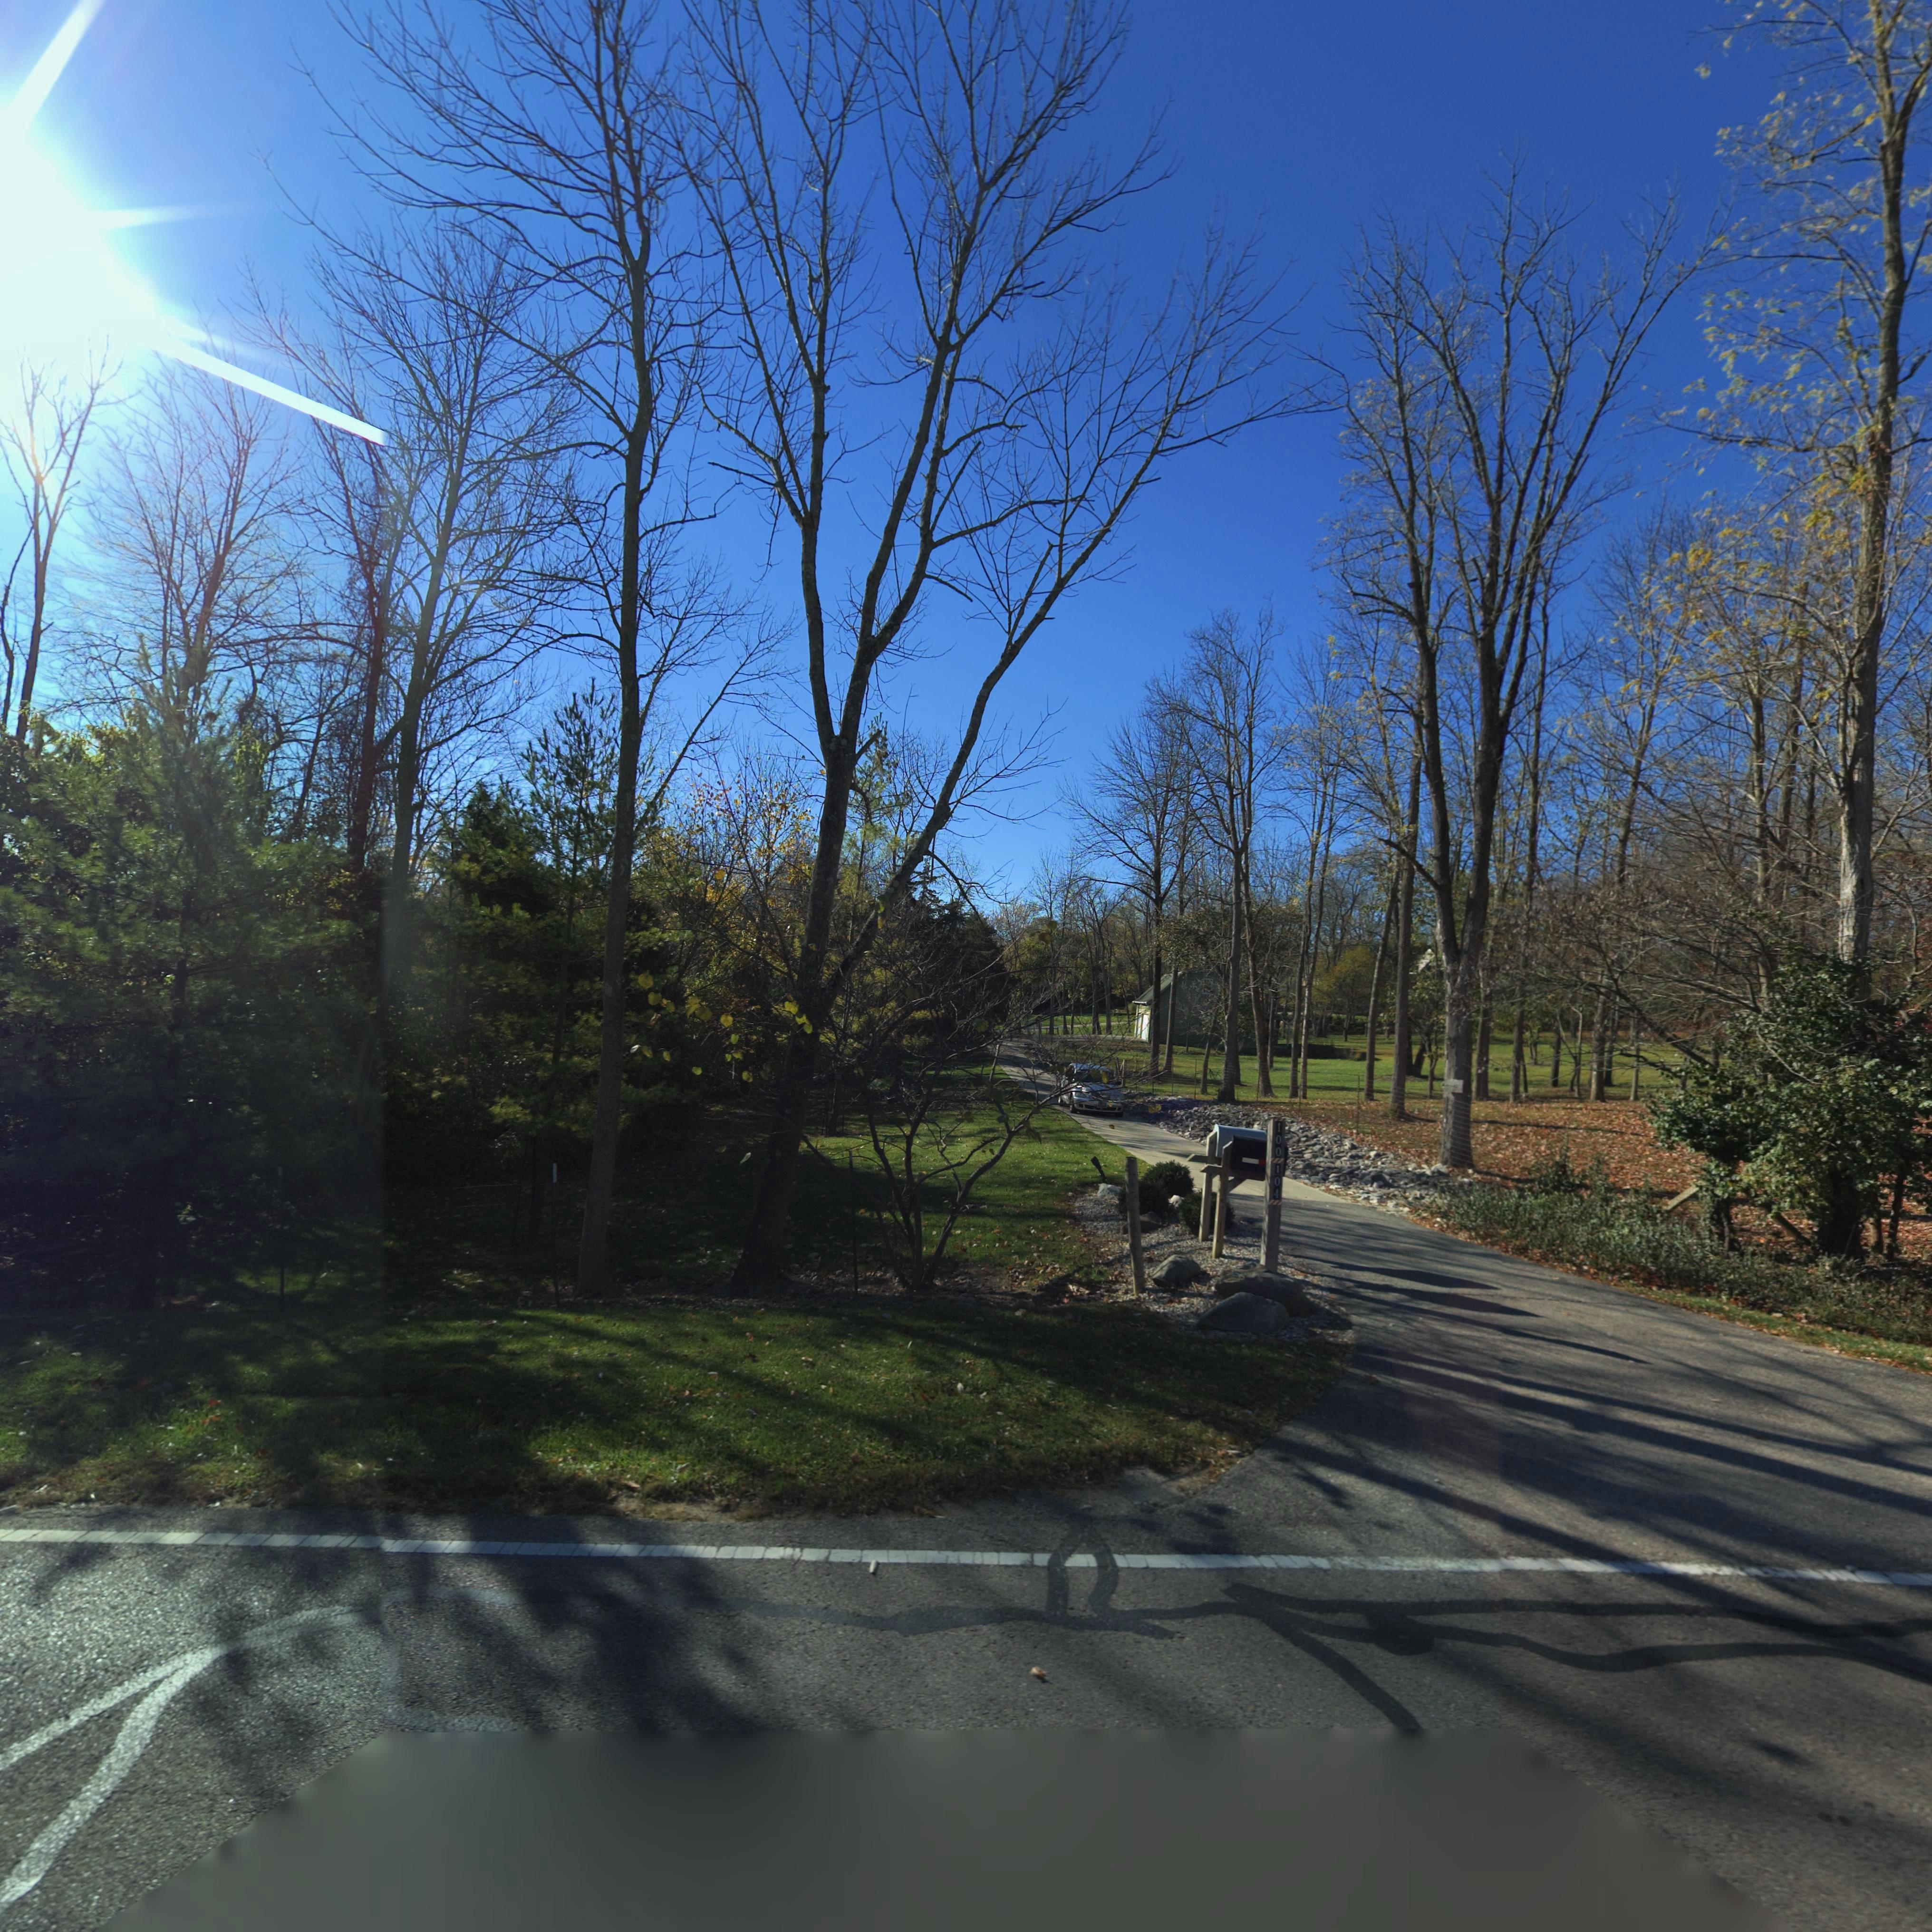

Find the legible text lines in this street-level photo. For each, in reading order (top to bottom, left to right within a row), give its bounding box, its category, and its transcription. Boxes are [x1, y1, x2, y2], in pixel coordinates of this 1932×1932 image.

[1275, 1122, 1282, 1157] StreetNumber: 100
[1273, 1165, 1281, 1199] StreetNumber: 104